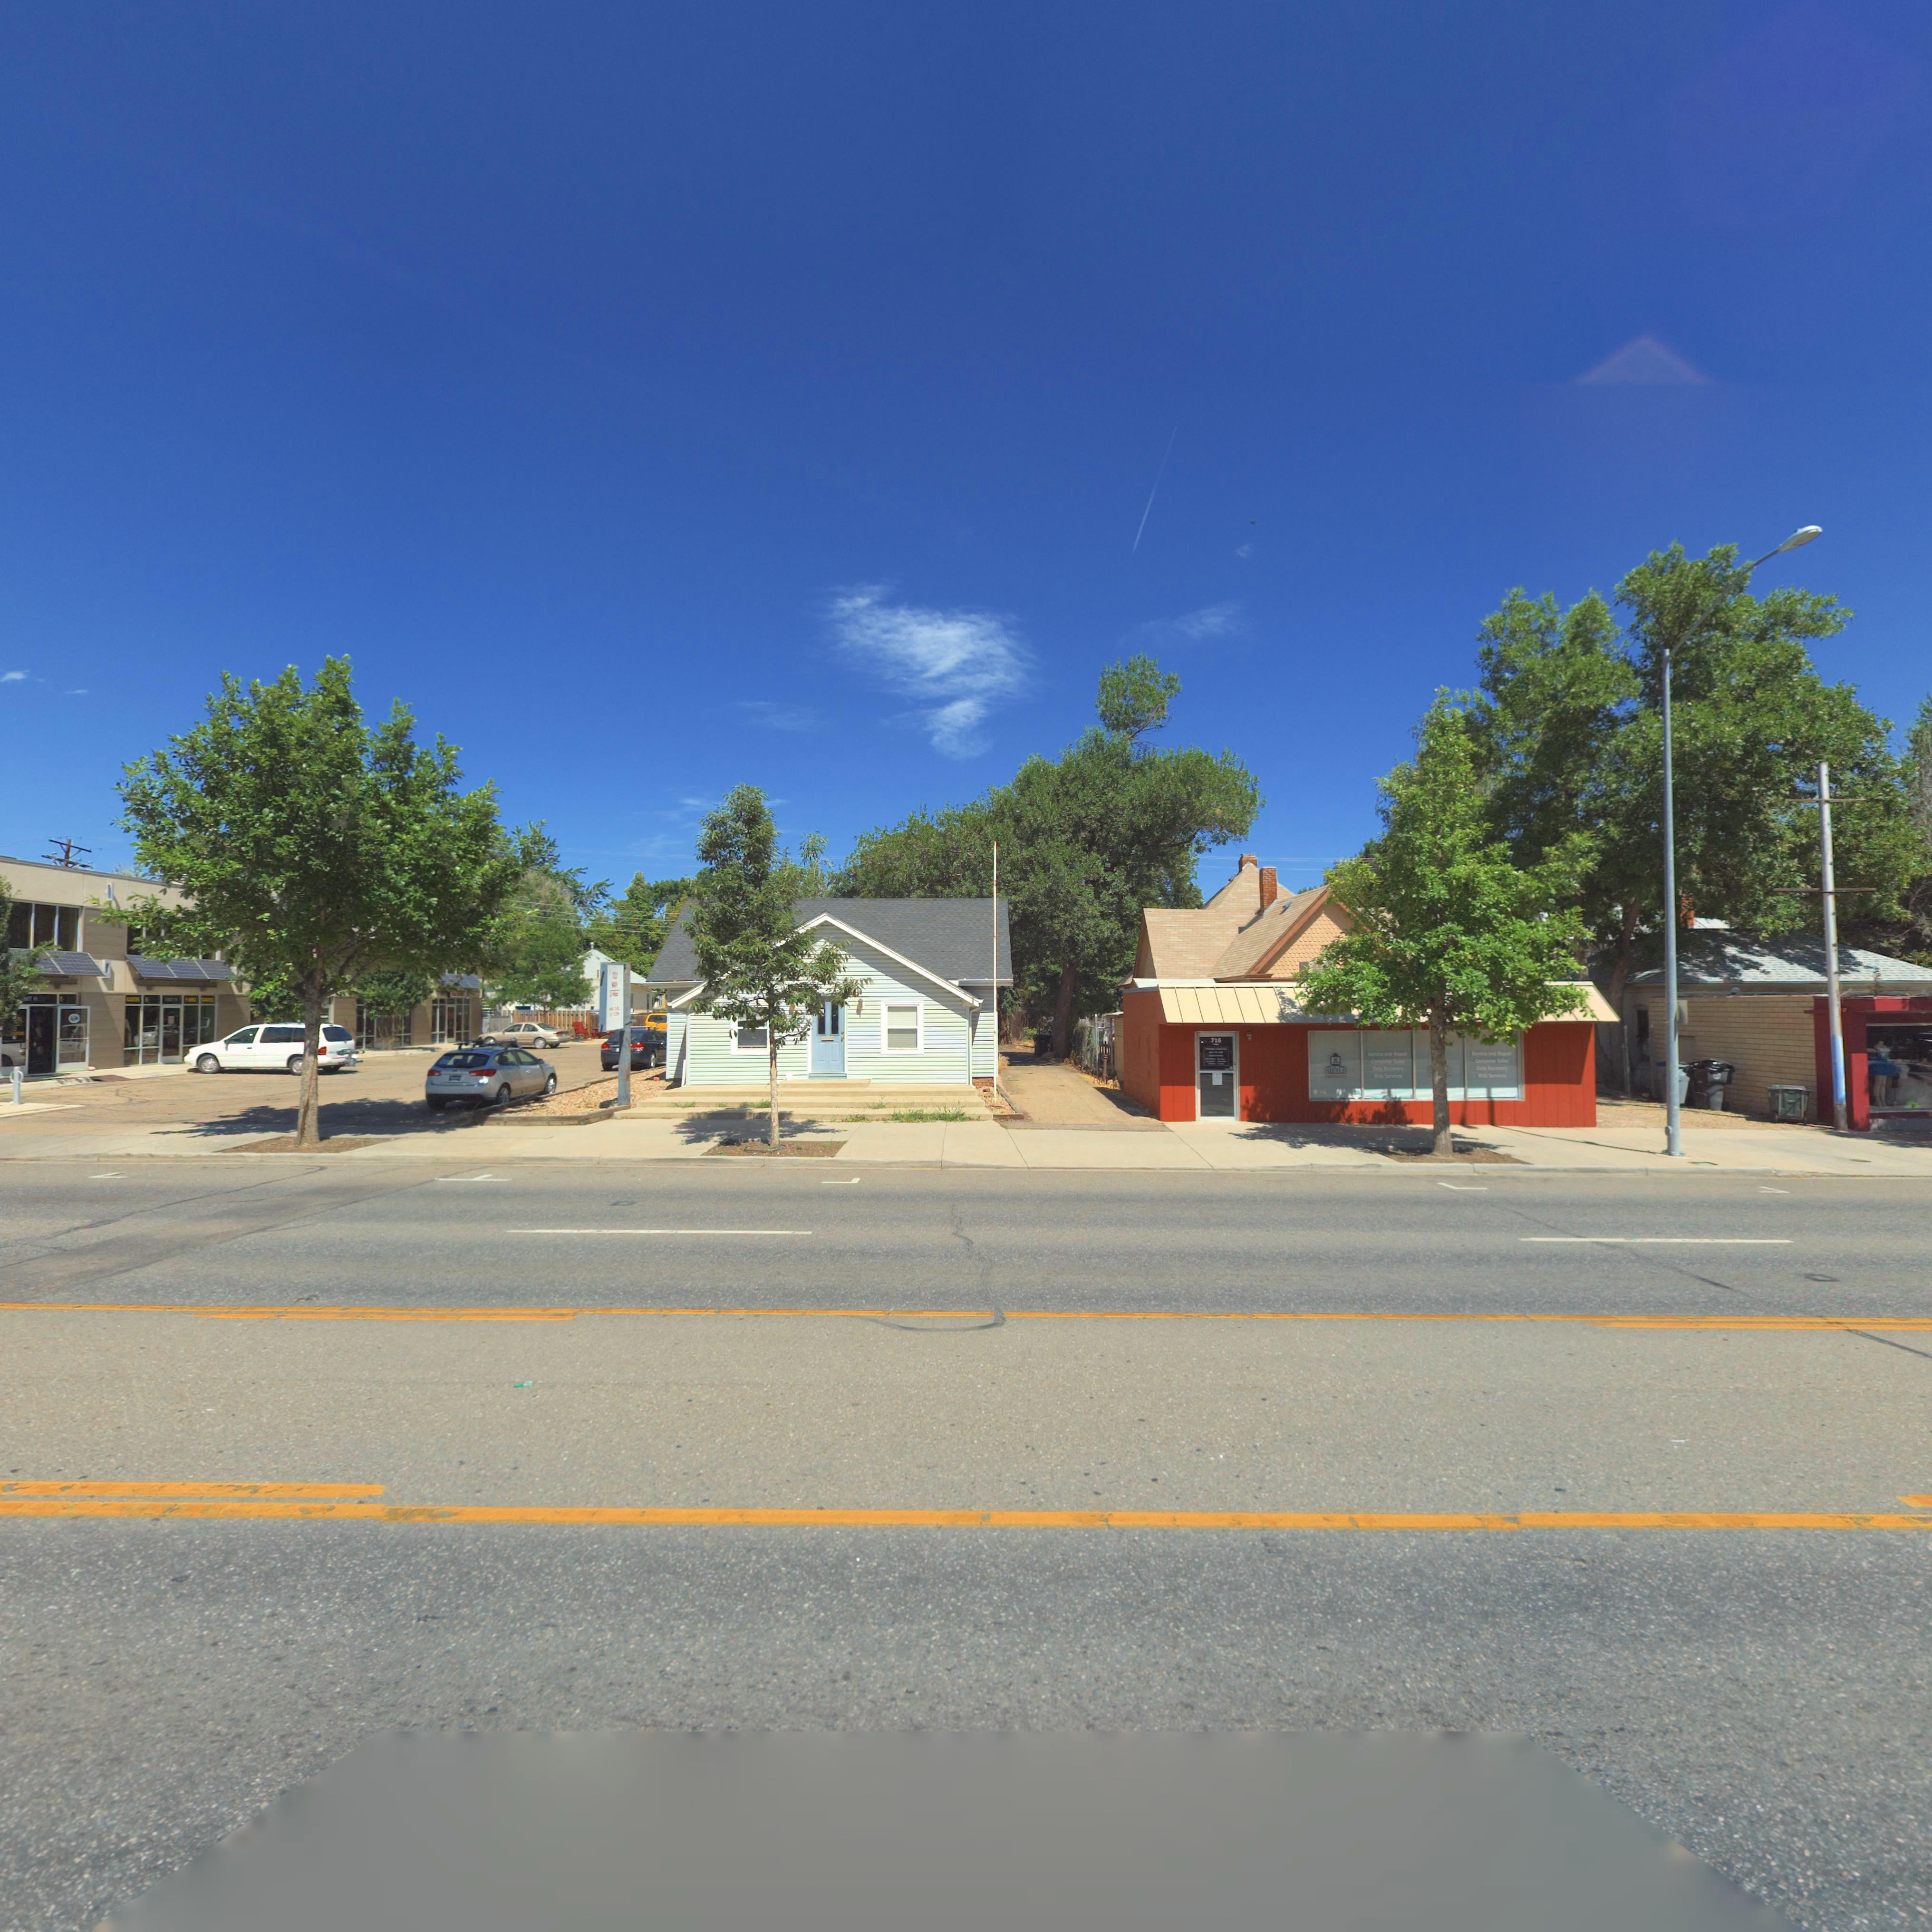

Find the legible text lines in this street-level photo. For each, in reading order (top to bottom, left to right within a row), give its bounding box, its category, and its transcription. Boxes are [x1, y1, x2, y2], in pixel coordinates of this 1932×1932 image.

[611, 972, 618, 979] StreetNumber: 720
[609, 989, 620, 997] BusinessName: S**EE*
[23, 995, 38, 1002] SecondaryUnitDesignator: *IT A
[1210, 1037, 1221, 1043] StreetNumber: 716
[1325, 1065, 1346, 1073] BusinessName: CITIZENS
[1429, 1065, 1451, 1073] BusinessName: *******S